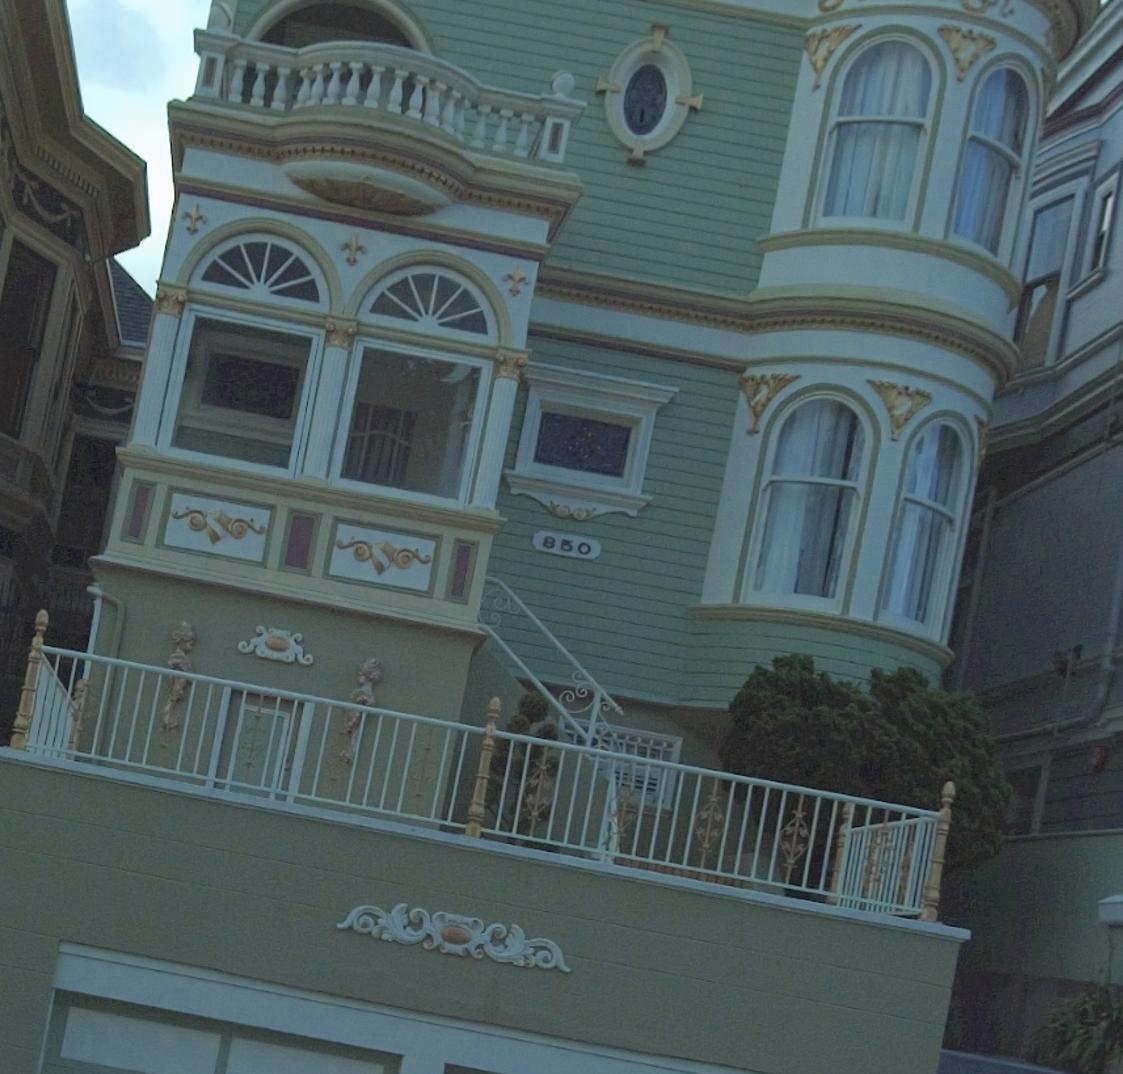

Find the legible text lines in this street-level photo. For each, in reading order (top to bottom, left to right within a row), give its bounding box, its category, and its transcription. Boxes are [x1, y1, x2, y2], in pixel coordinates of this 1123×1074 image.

[539, 533, 595, 558] StreetNumber: 850